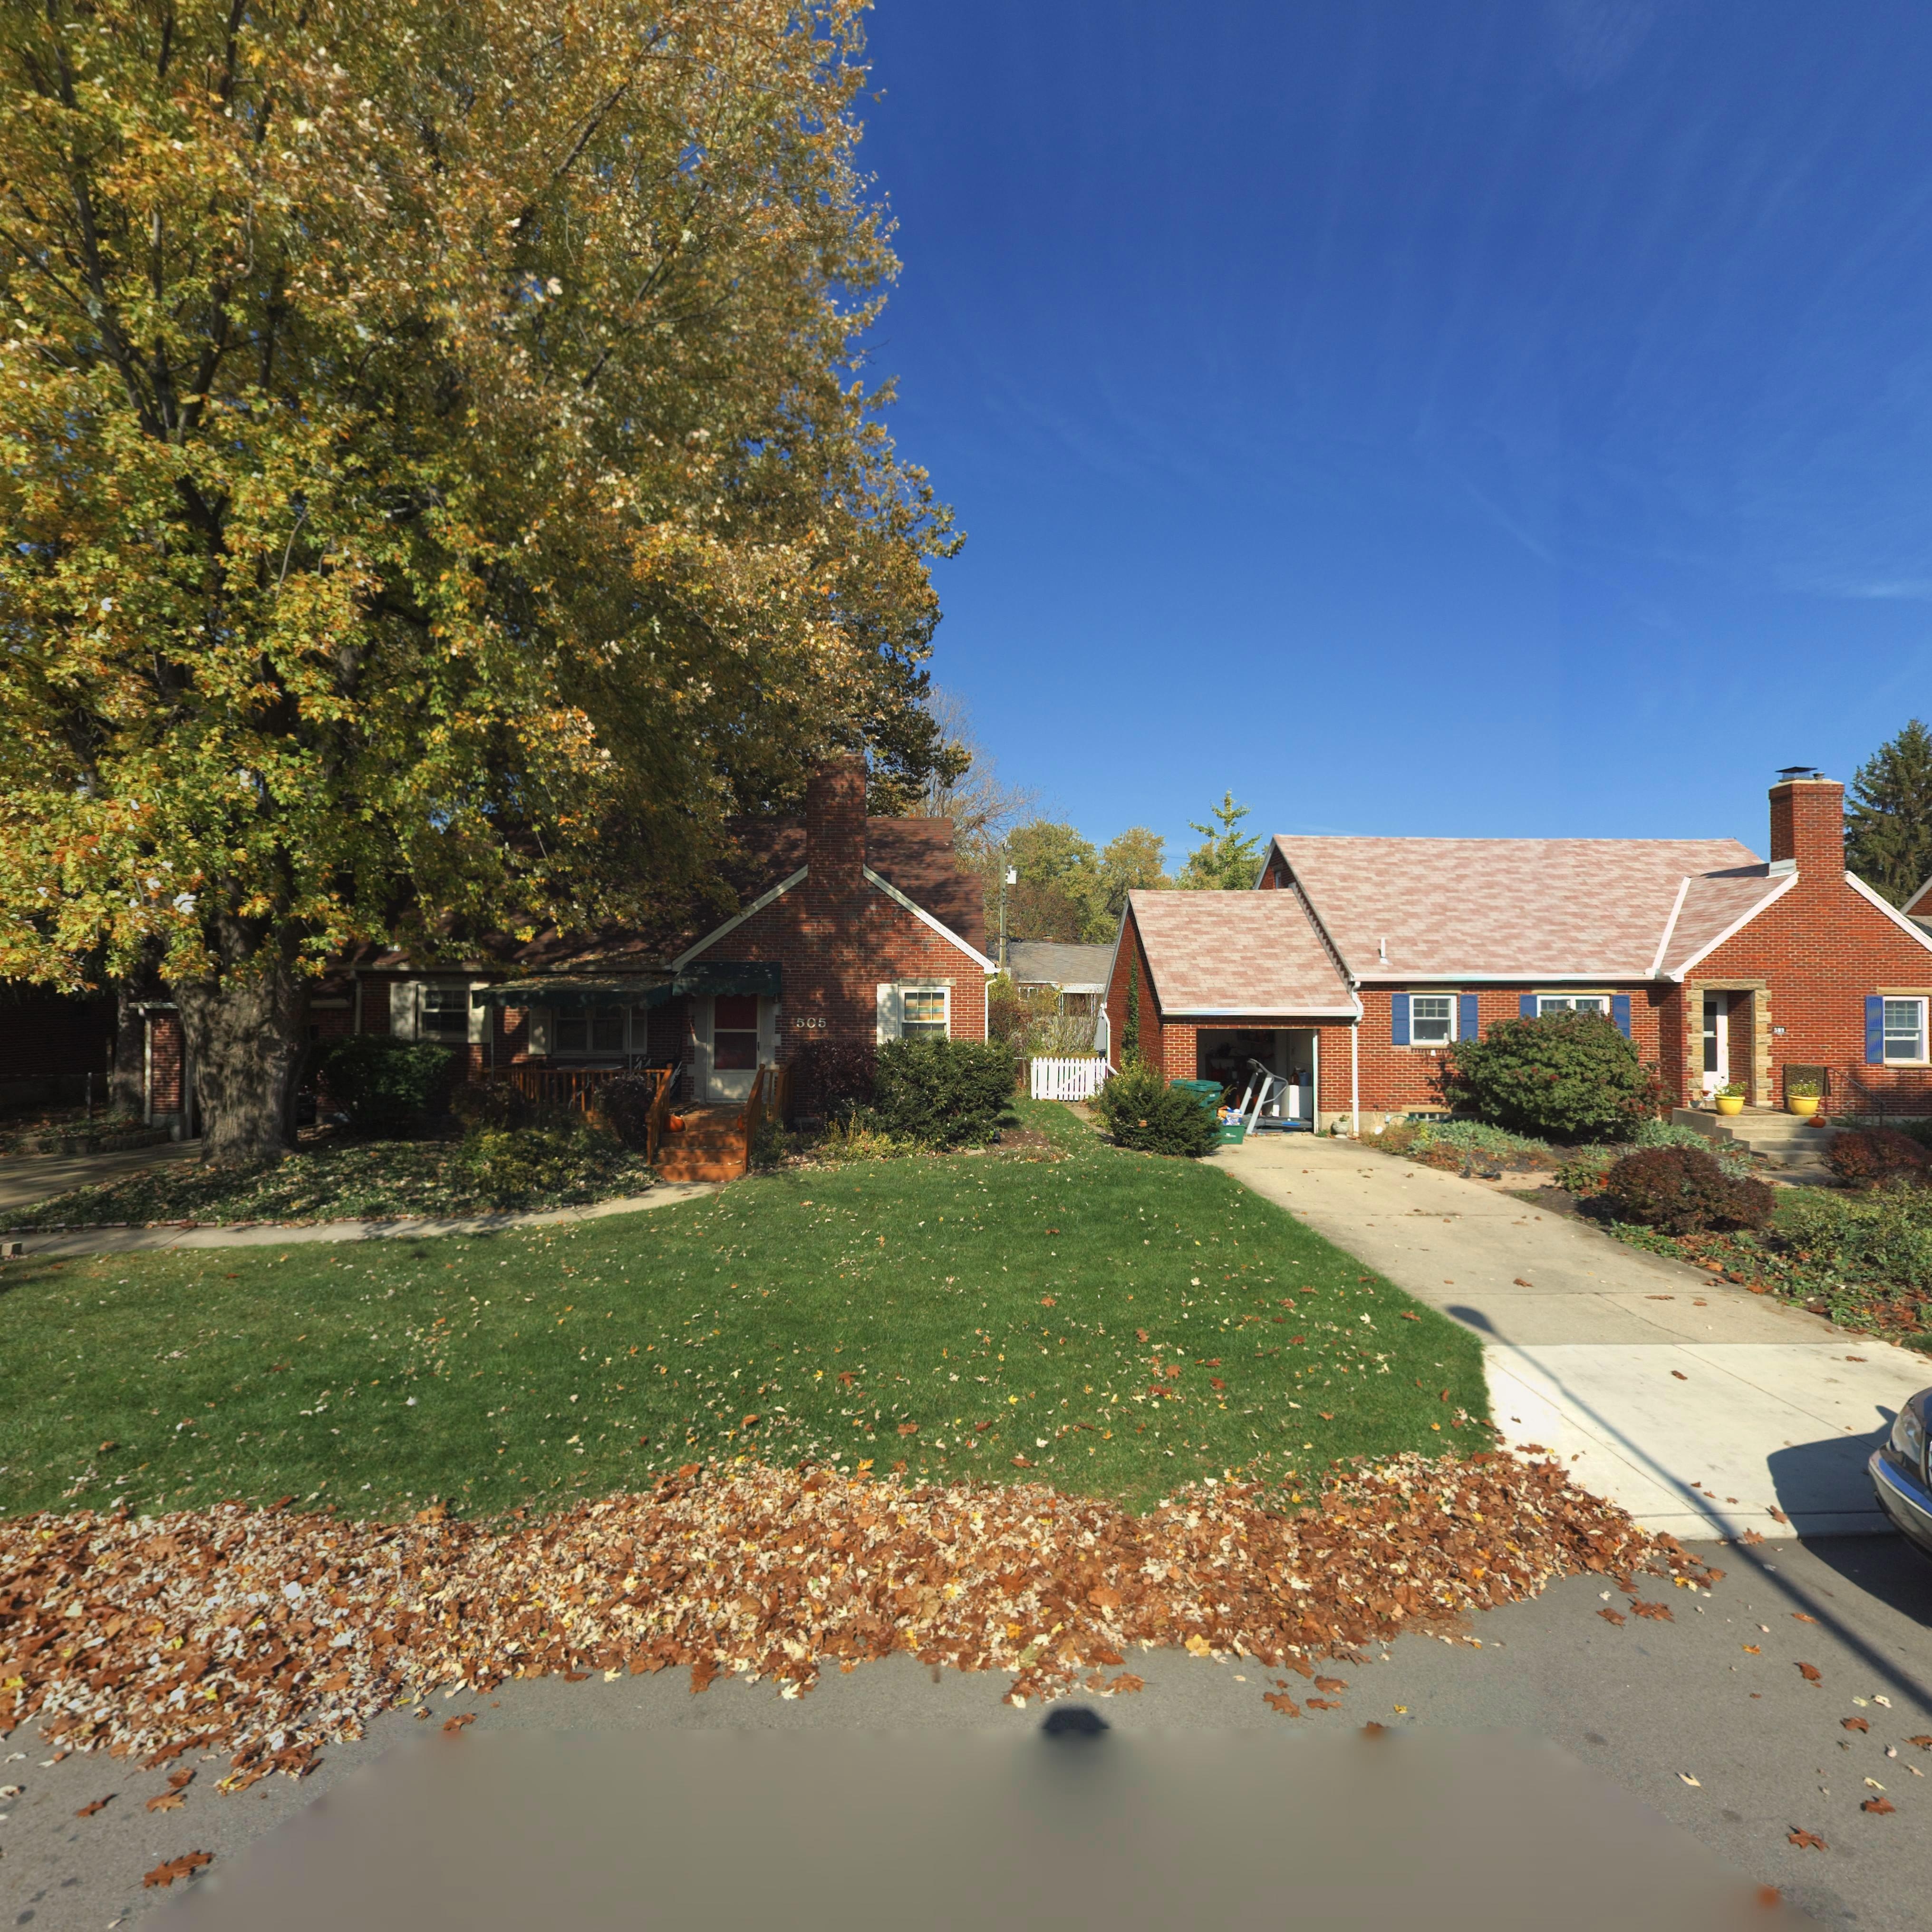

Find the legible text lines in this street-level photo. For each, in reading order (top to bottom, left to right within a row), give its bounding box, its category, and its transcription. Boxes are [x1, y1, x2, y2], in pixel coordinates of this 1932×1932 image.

[796, 1017, 827, 1028] StreetNumber: 505
[1774, 1027, 1785, 1033] StreetNumber: 50*